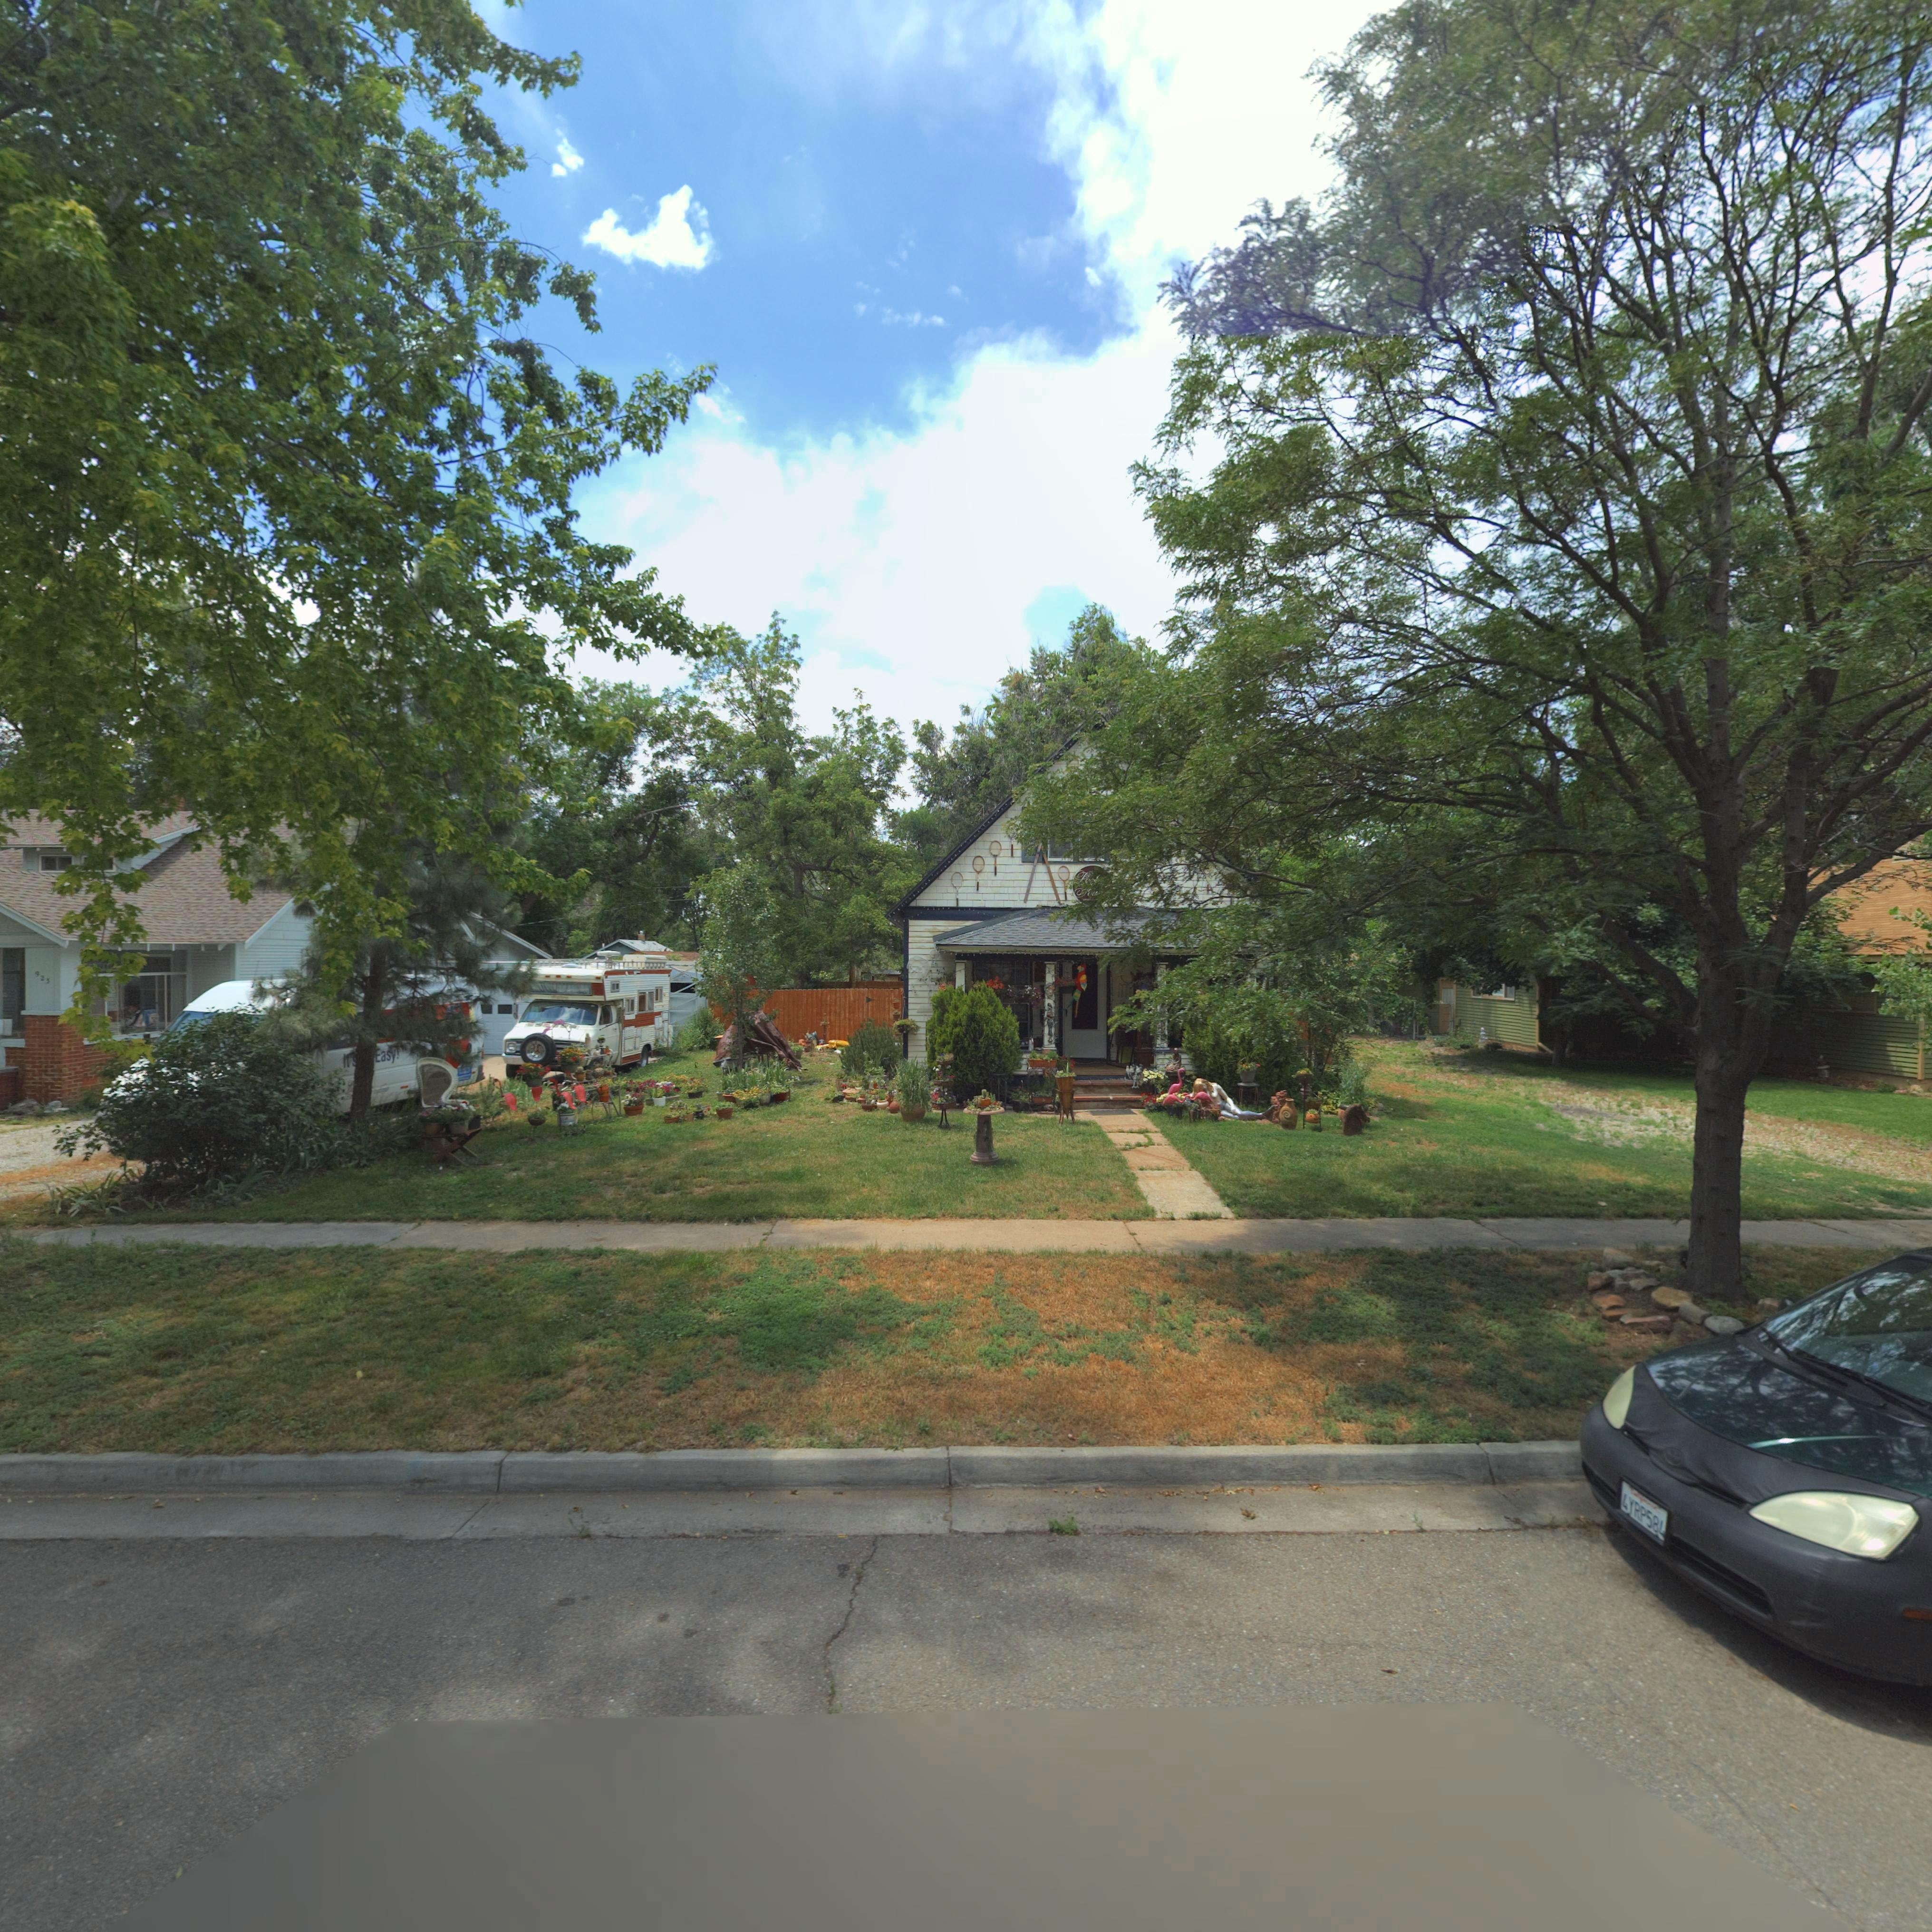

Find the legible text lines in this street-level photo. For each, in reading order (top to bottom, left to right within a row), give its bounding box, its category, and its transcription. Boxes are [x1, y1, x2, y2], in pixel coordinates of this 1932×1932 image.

[34, 970, 50, 984] StreetNumber: 92*